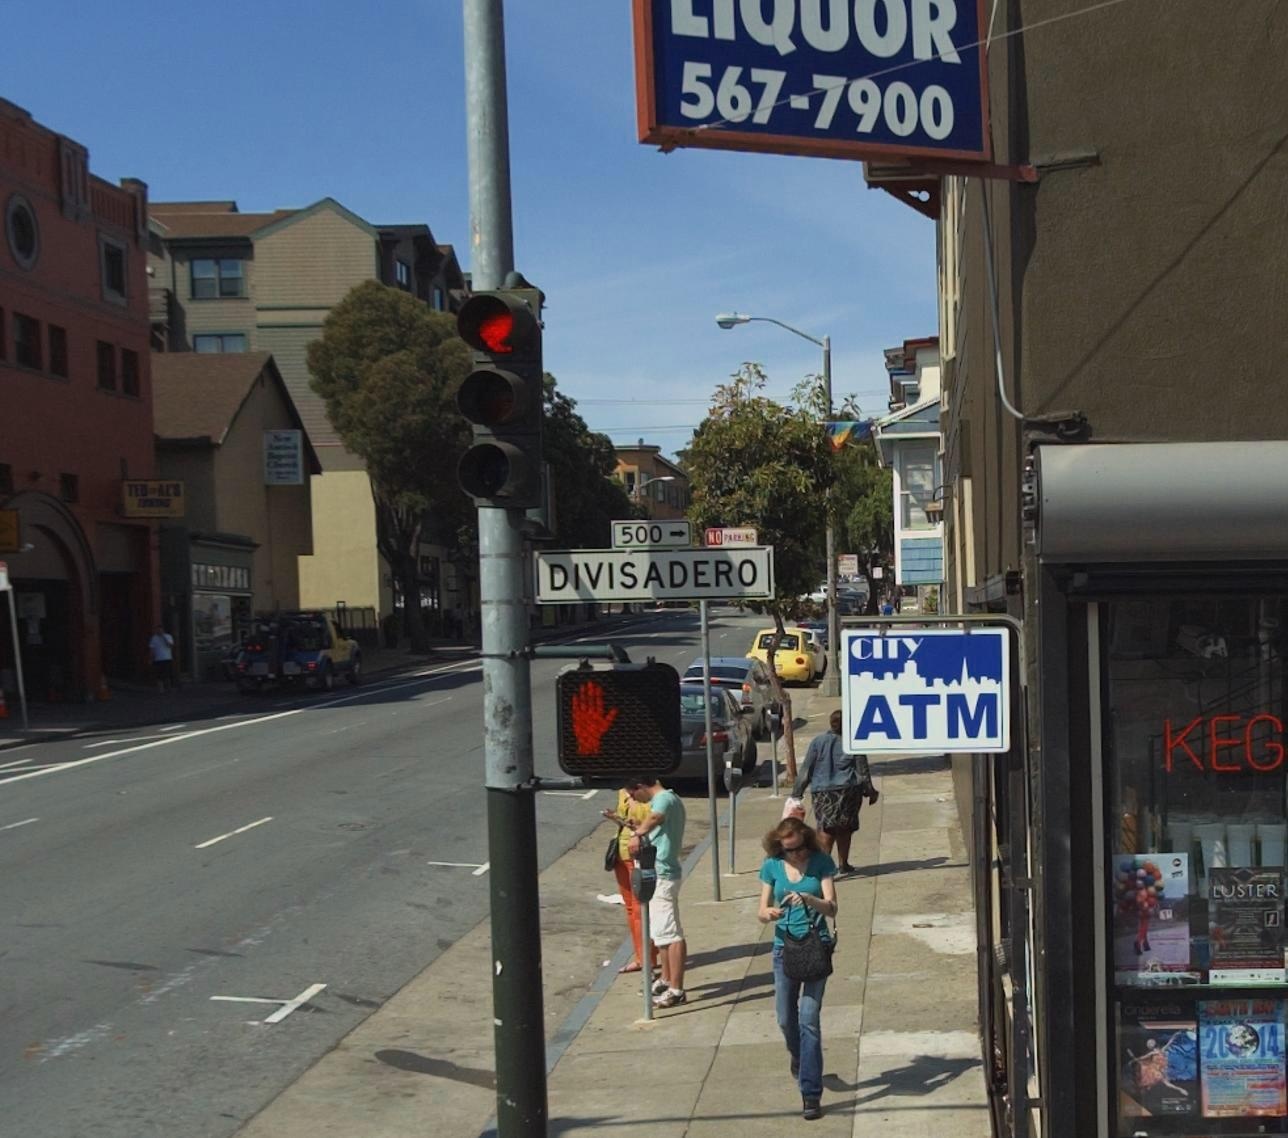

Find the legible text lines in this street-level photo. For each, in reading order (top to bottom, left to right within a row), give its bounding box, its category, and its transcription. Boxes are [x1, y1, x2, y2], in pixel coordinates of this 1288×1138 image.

[666, 0, 968, 66] None: R
[679, 55, 957, 146] None: 567-7900
[124, 482, 182, 498] None: TED * AES
[615, 521, 690, 547] StreetNumberRange: 500->
[706, 527, 756, 545] None: NO PARKING
[542, 555, 763, 598] StreetName: DIVISADERO
[847, 634, 922, 664] None: CITY
[852, 689, 1001, 740] None: ATM
[1159, 709, 1285, 772] None: KEG
[1210, 880, 1278, 899] None: LUSTER
[1123, 1000, 1182, 1019] None: cinderella
[1203, 998, 1279, 1017] None: EARTH DAY
[1202, 1024, 1234, 1060] None: 20
[1254, 1022, 1286, 1060] None: 14